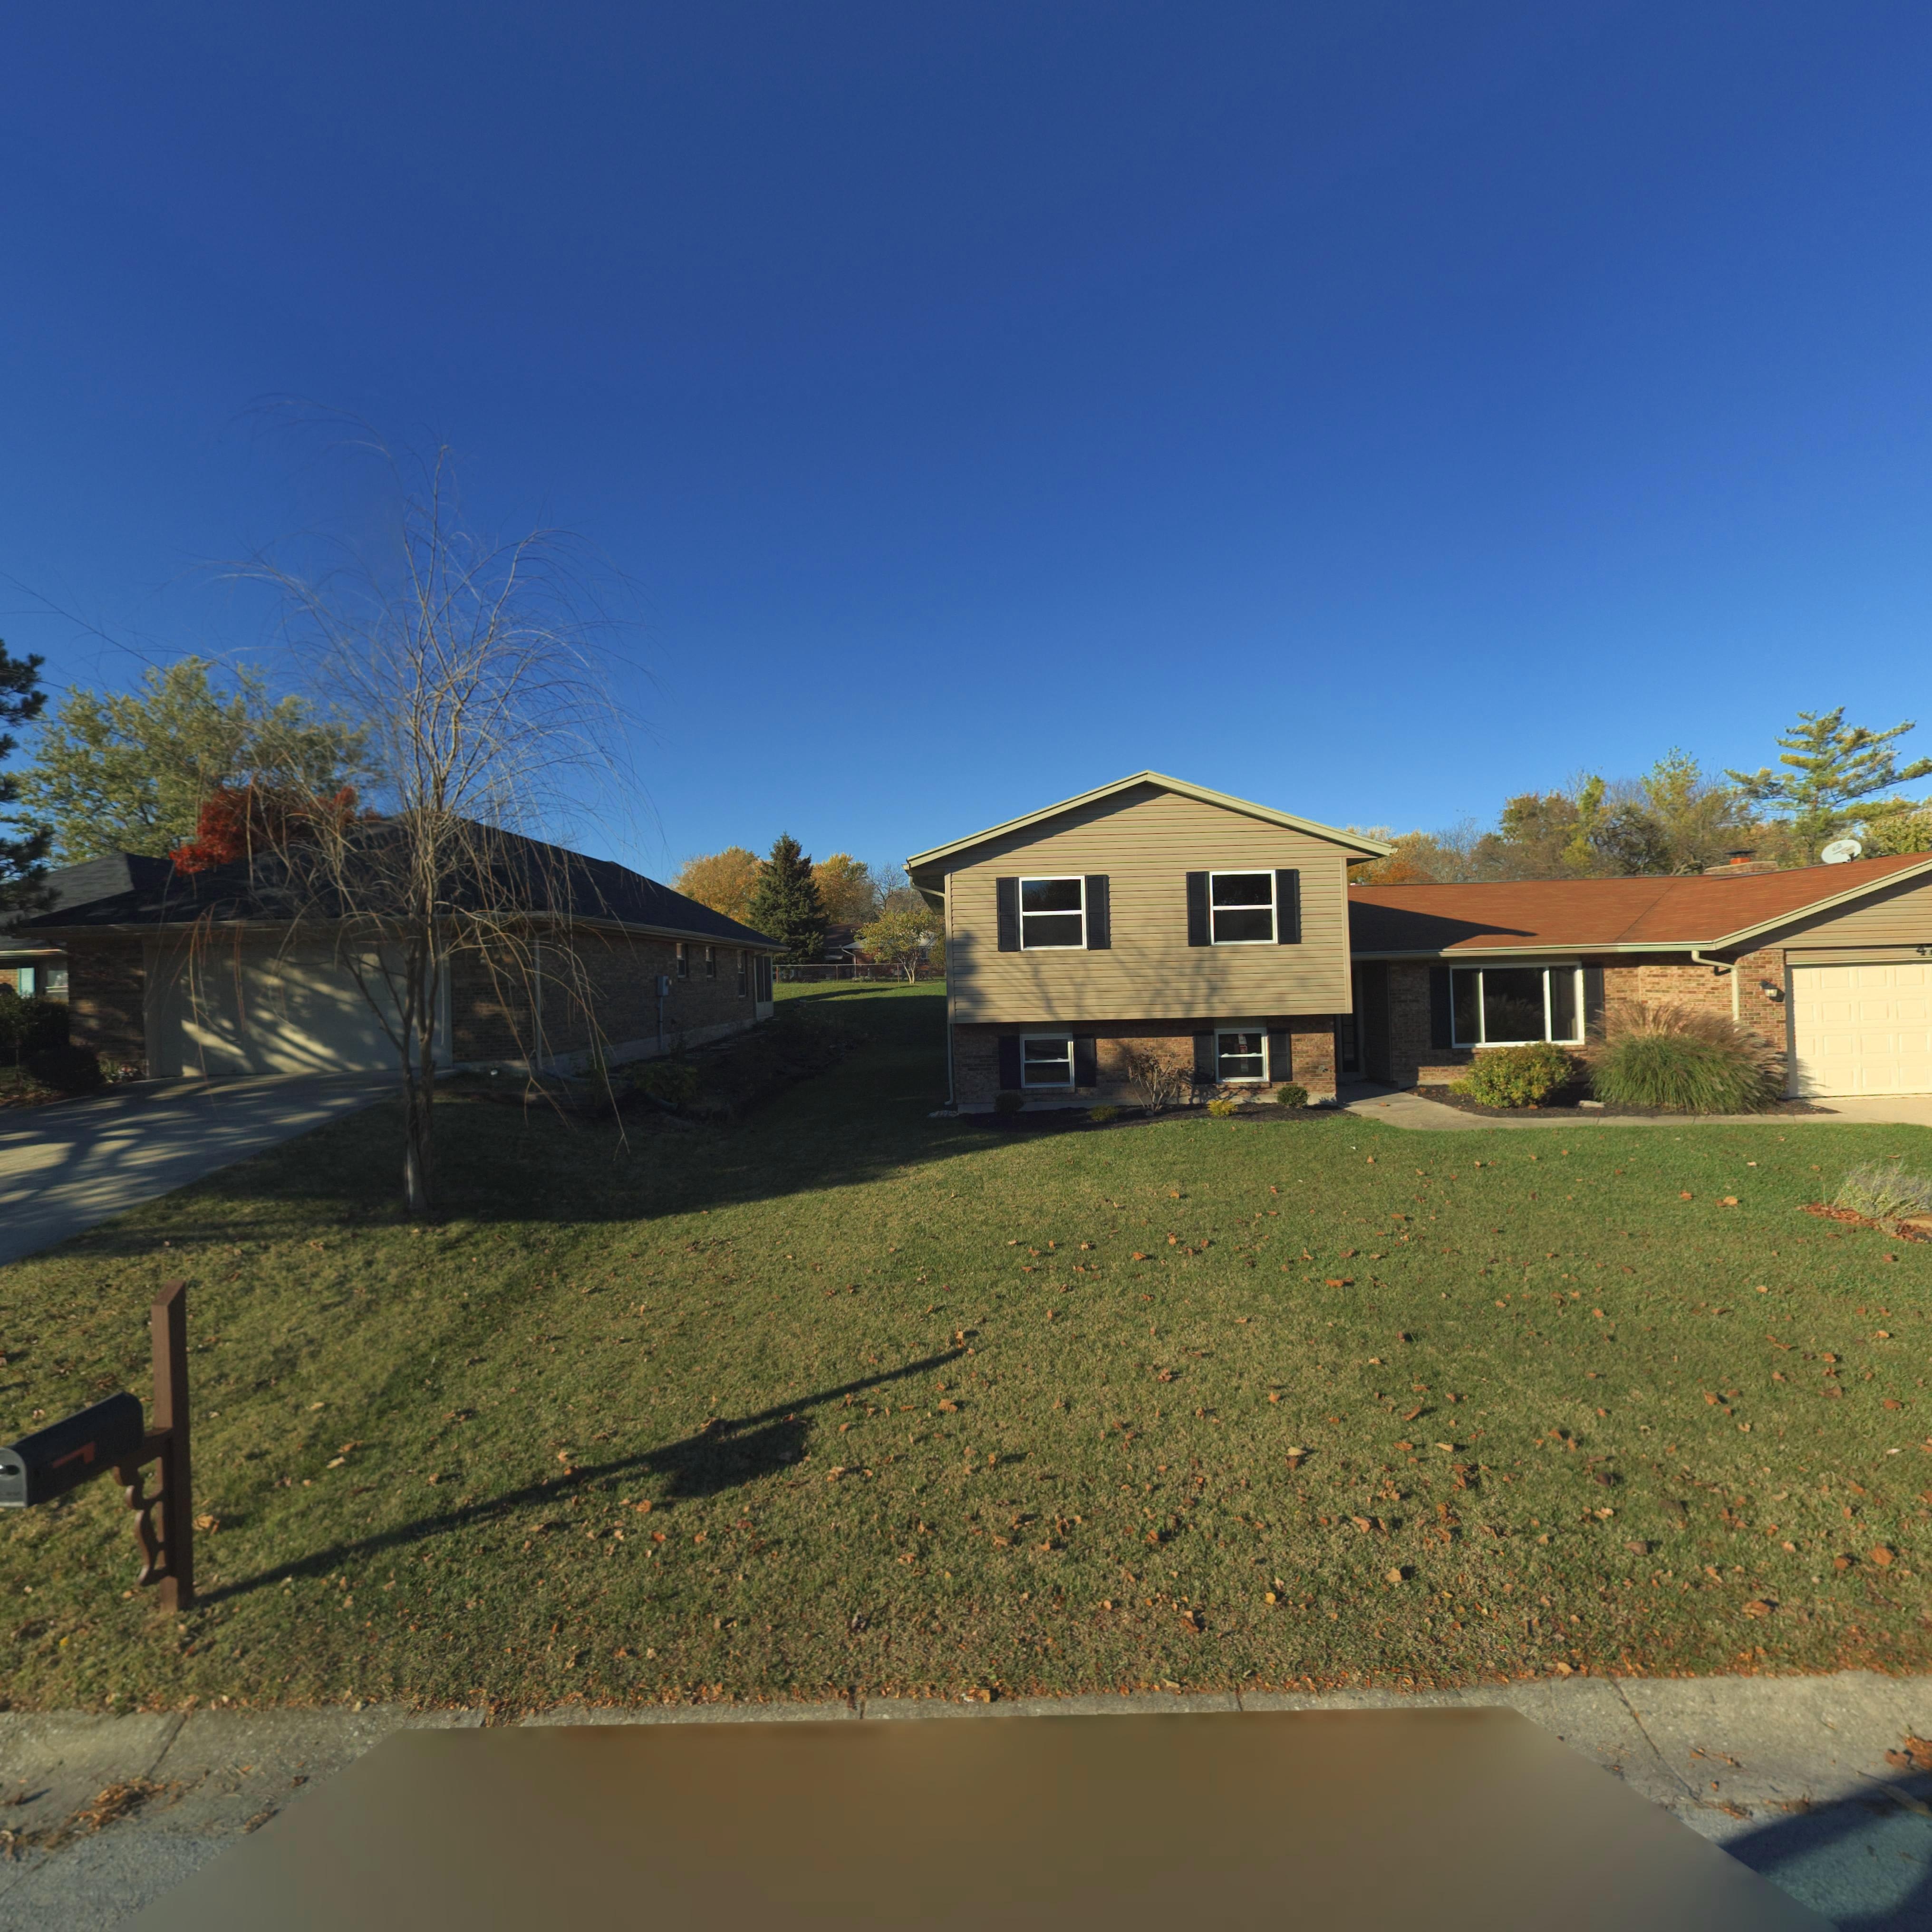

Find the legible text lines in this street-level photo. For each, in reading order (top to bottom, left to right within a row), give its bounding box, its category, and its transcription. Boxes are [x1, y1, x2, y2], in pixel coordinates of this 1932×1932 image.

[1915, 943, 1928, 956] StreetNumber: 4